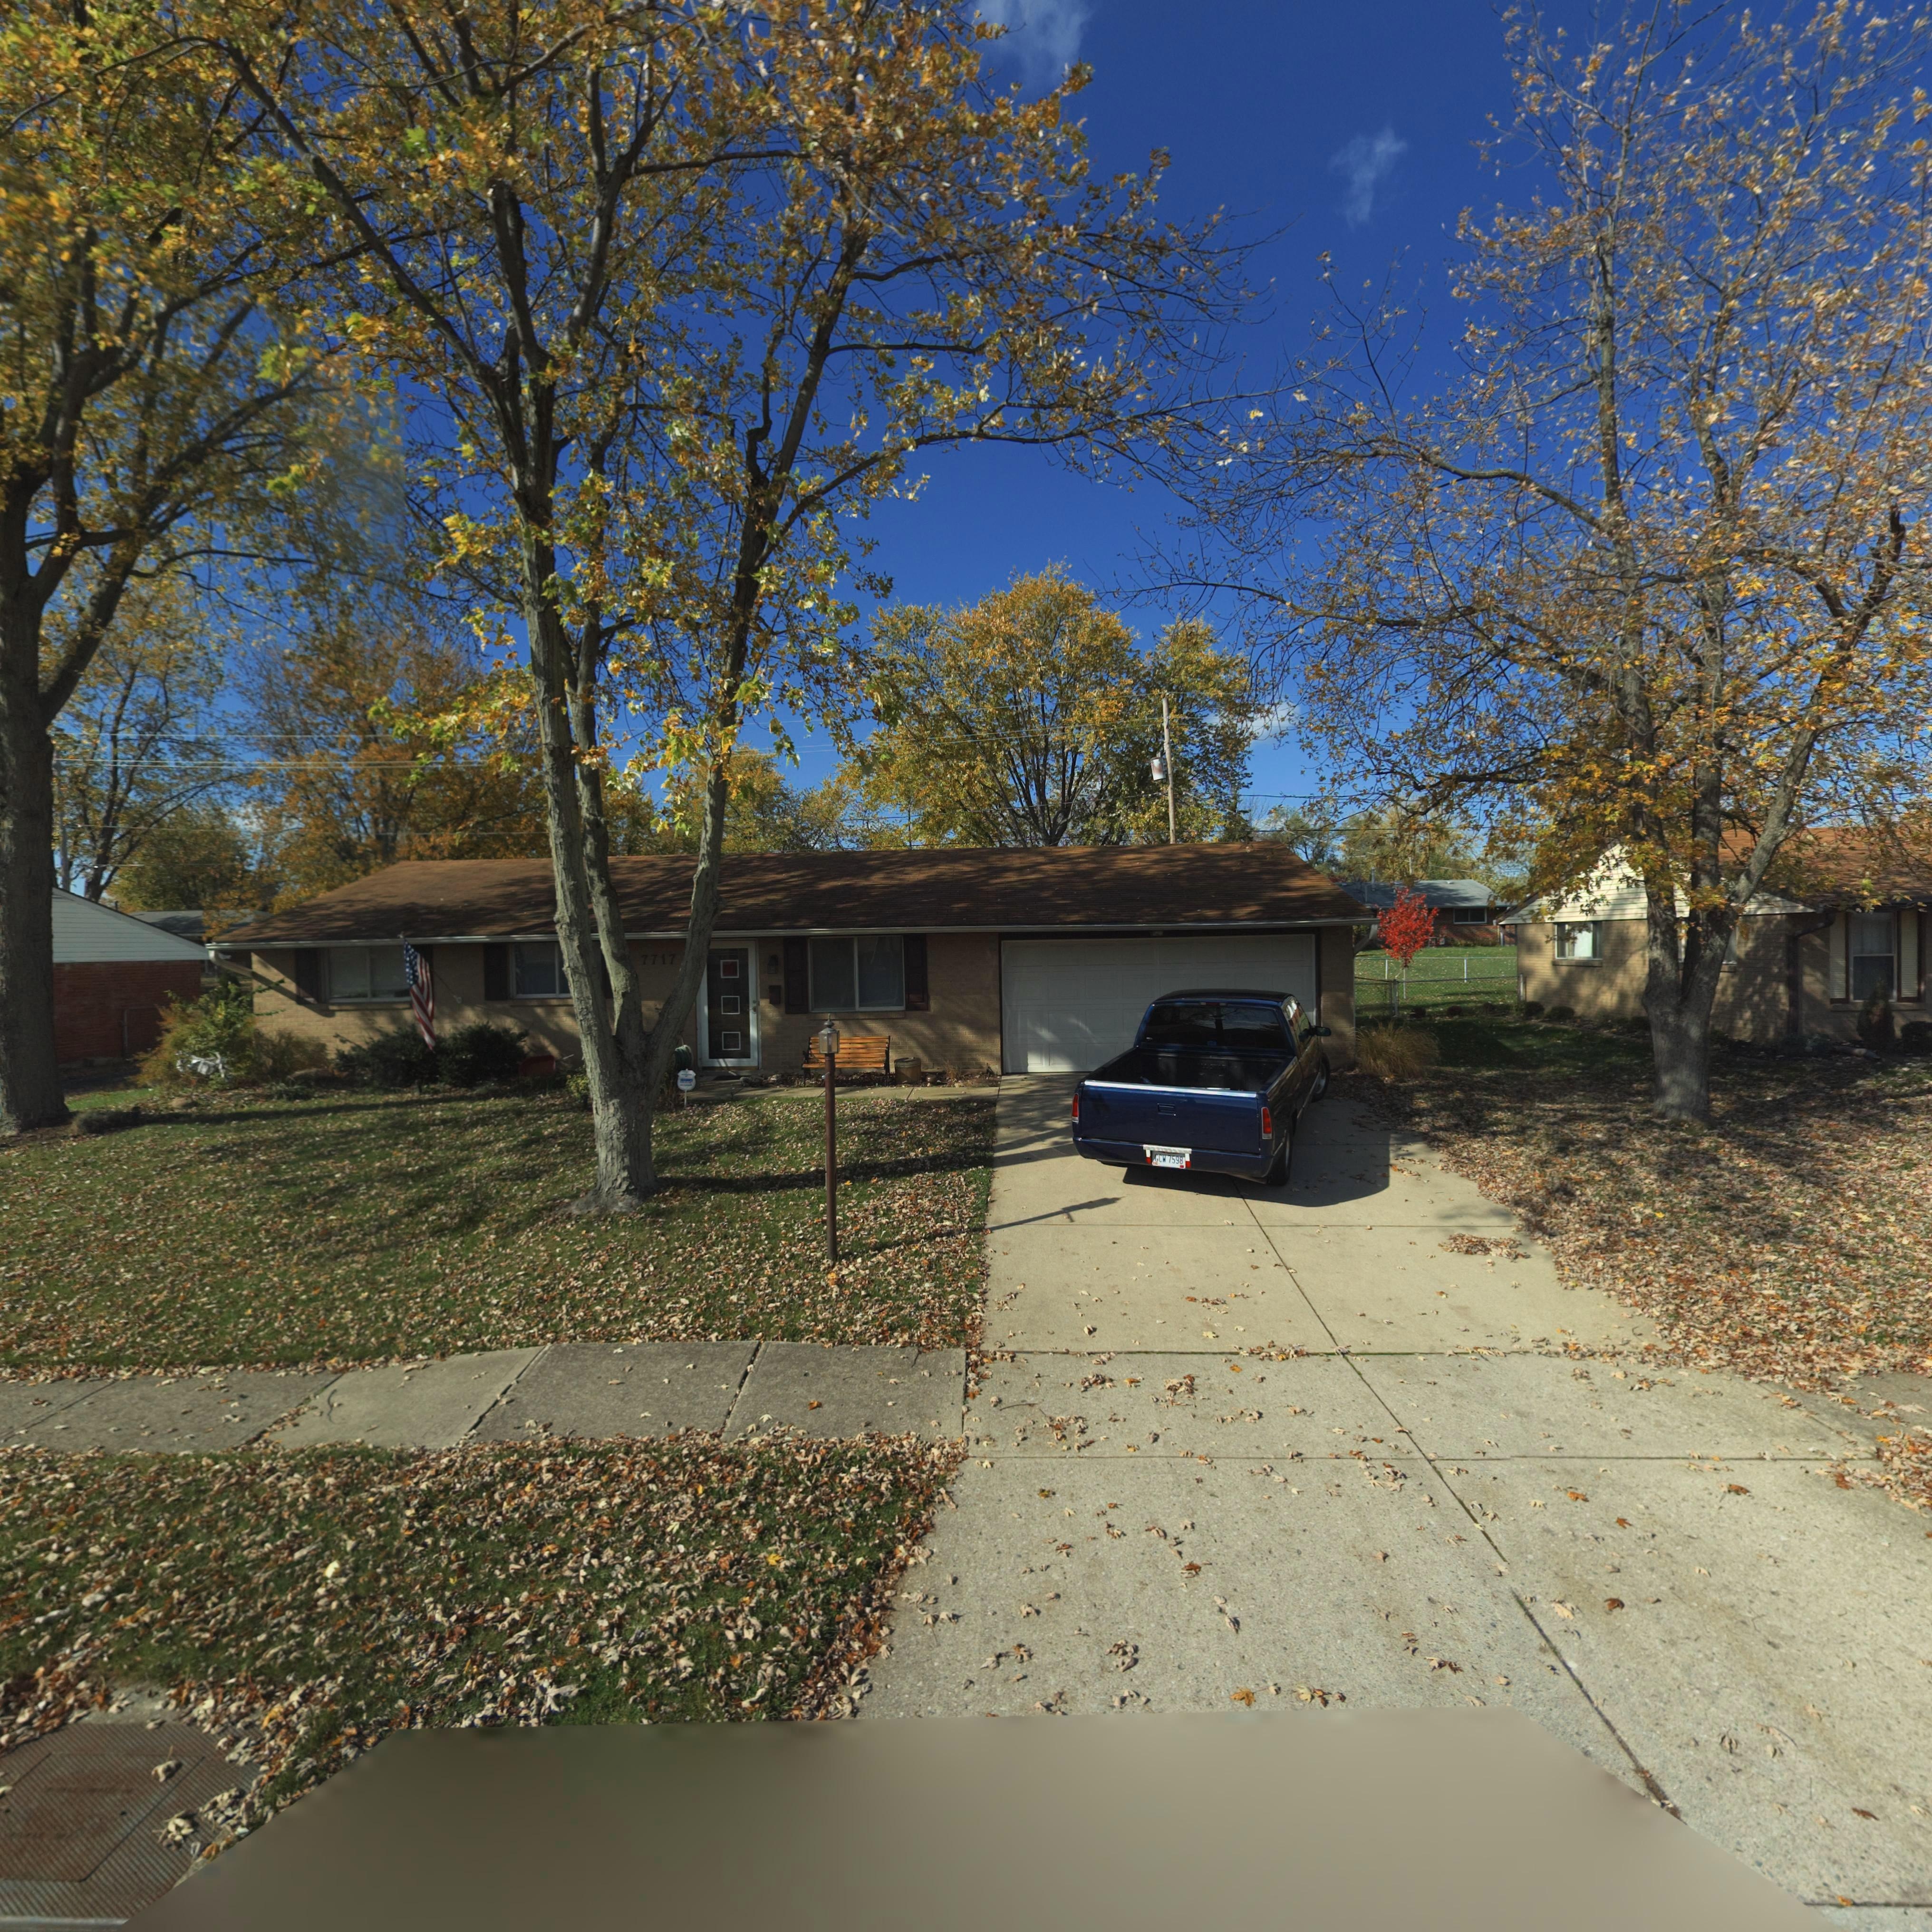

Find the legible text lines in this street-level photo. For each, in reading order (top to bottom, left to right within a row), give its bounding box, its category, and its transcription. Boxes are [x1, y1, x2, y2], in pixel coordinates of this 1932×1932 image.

[639, 952, 676, 966] StreetNumber: 7717